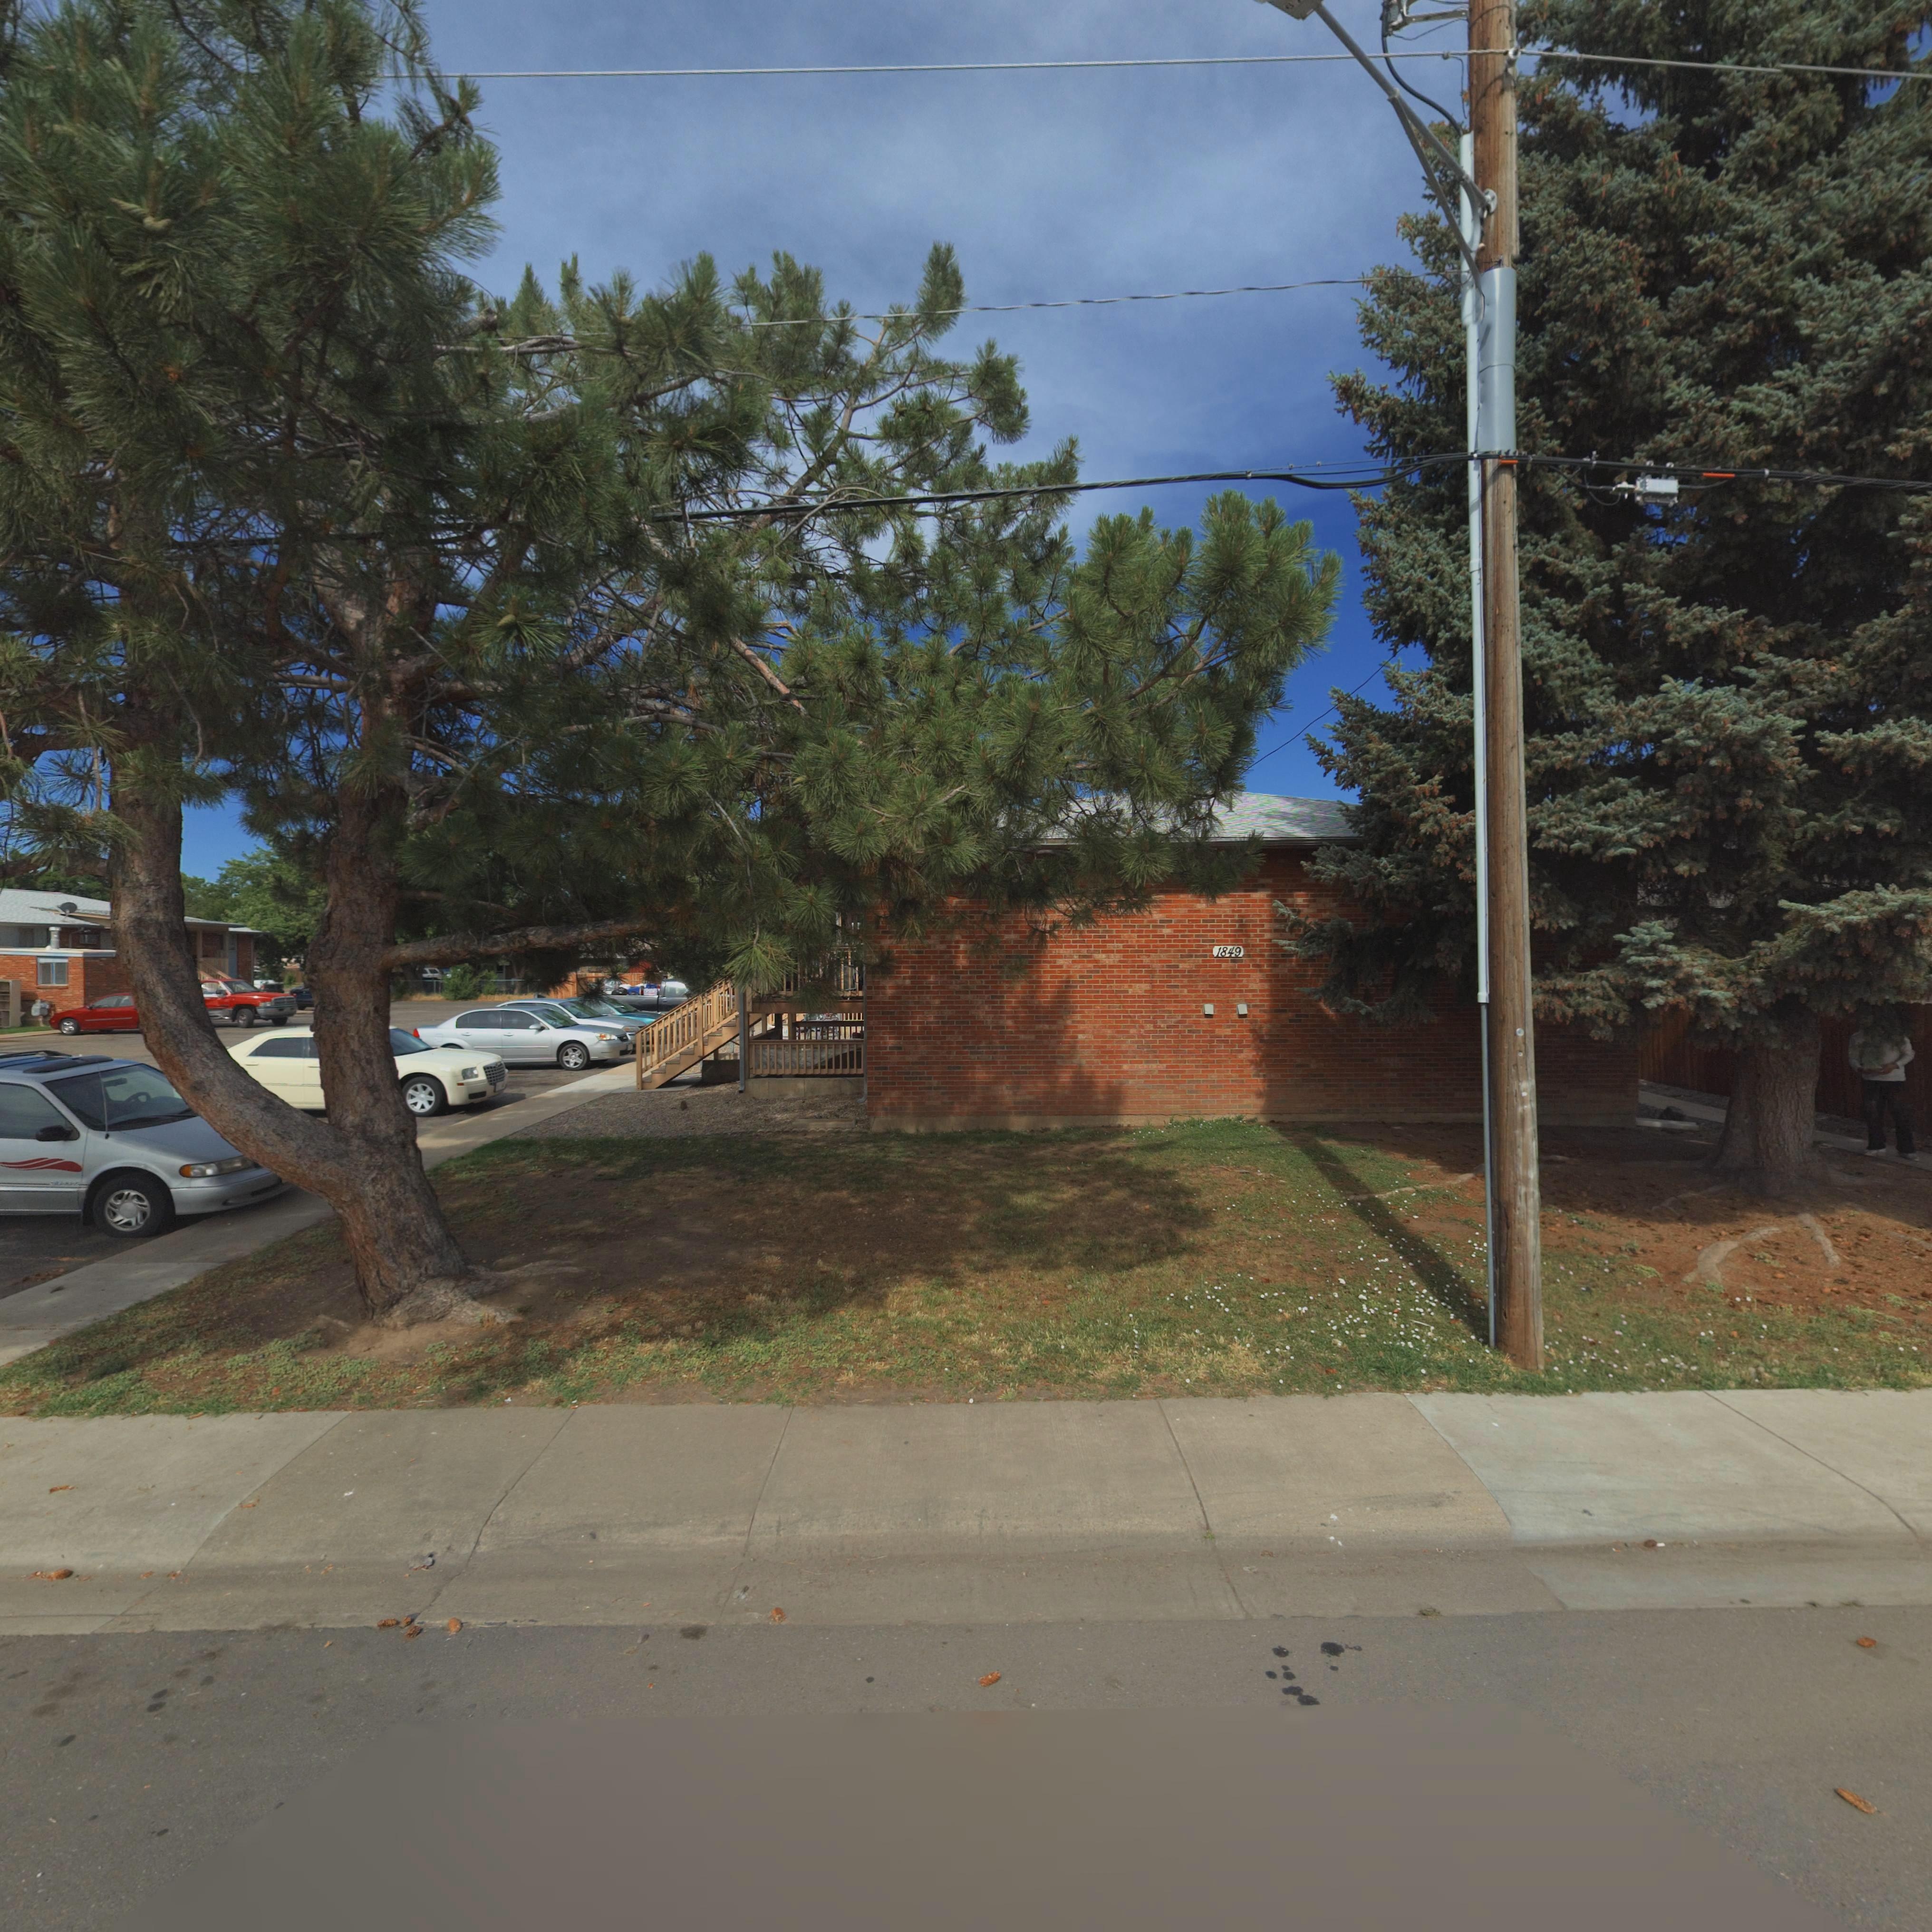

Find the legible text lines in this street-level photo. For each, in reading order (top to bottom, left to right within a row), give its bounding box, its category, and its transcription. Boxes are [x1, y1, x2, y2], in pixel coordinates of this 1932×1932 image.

[1214, 946, 1242, 957] StreetNumber: 1849